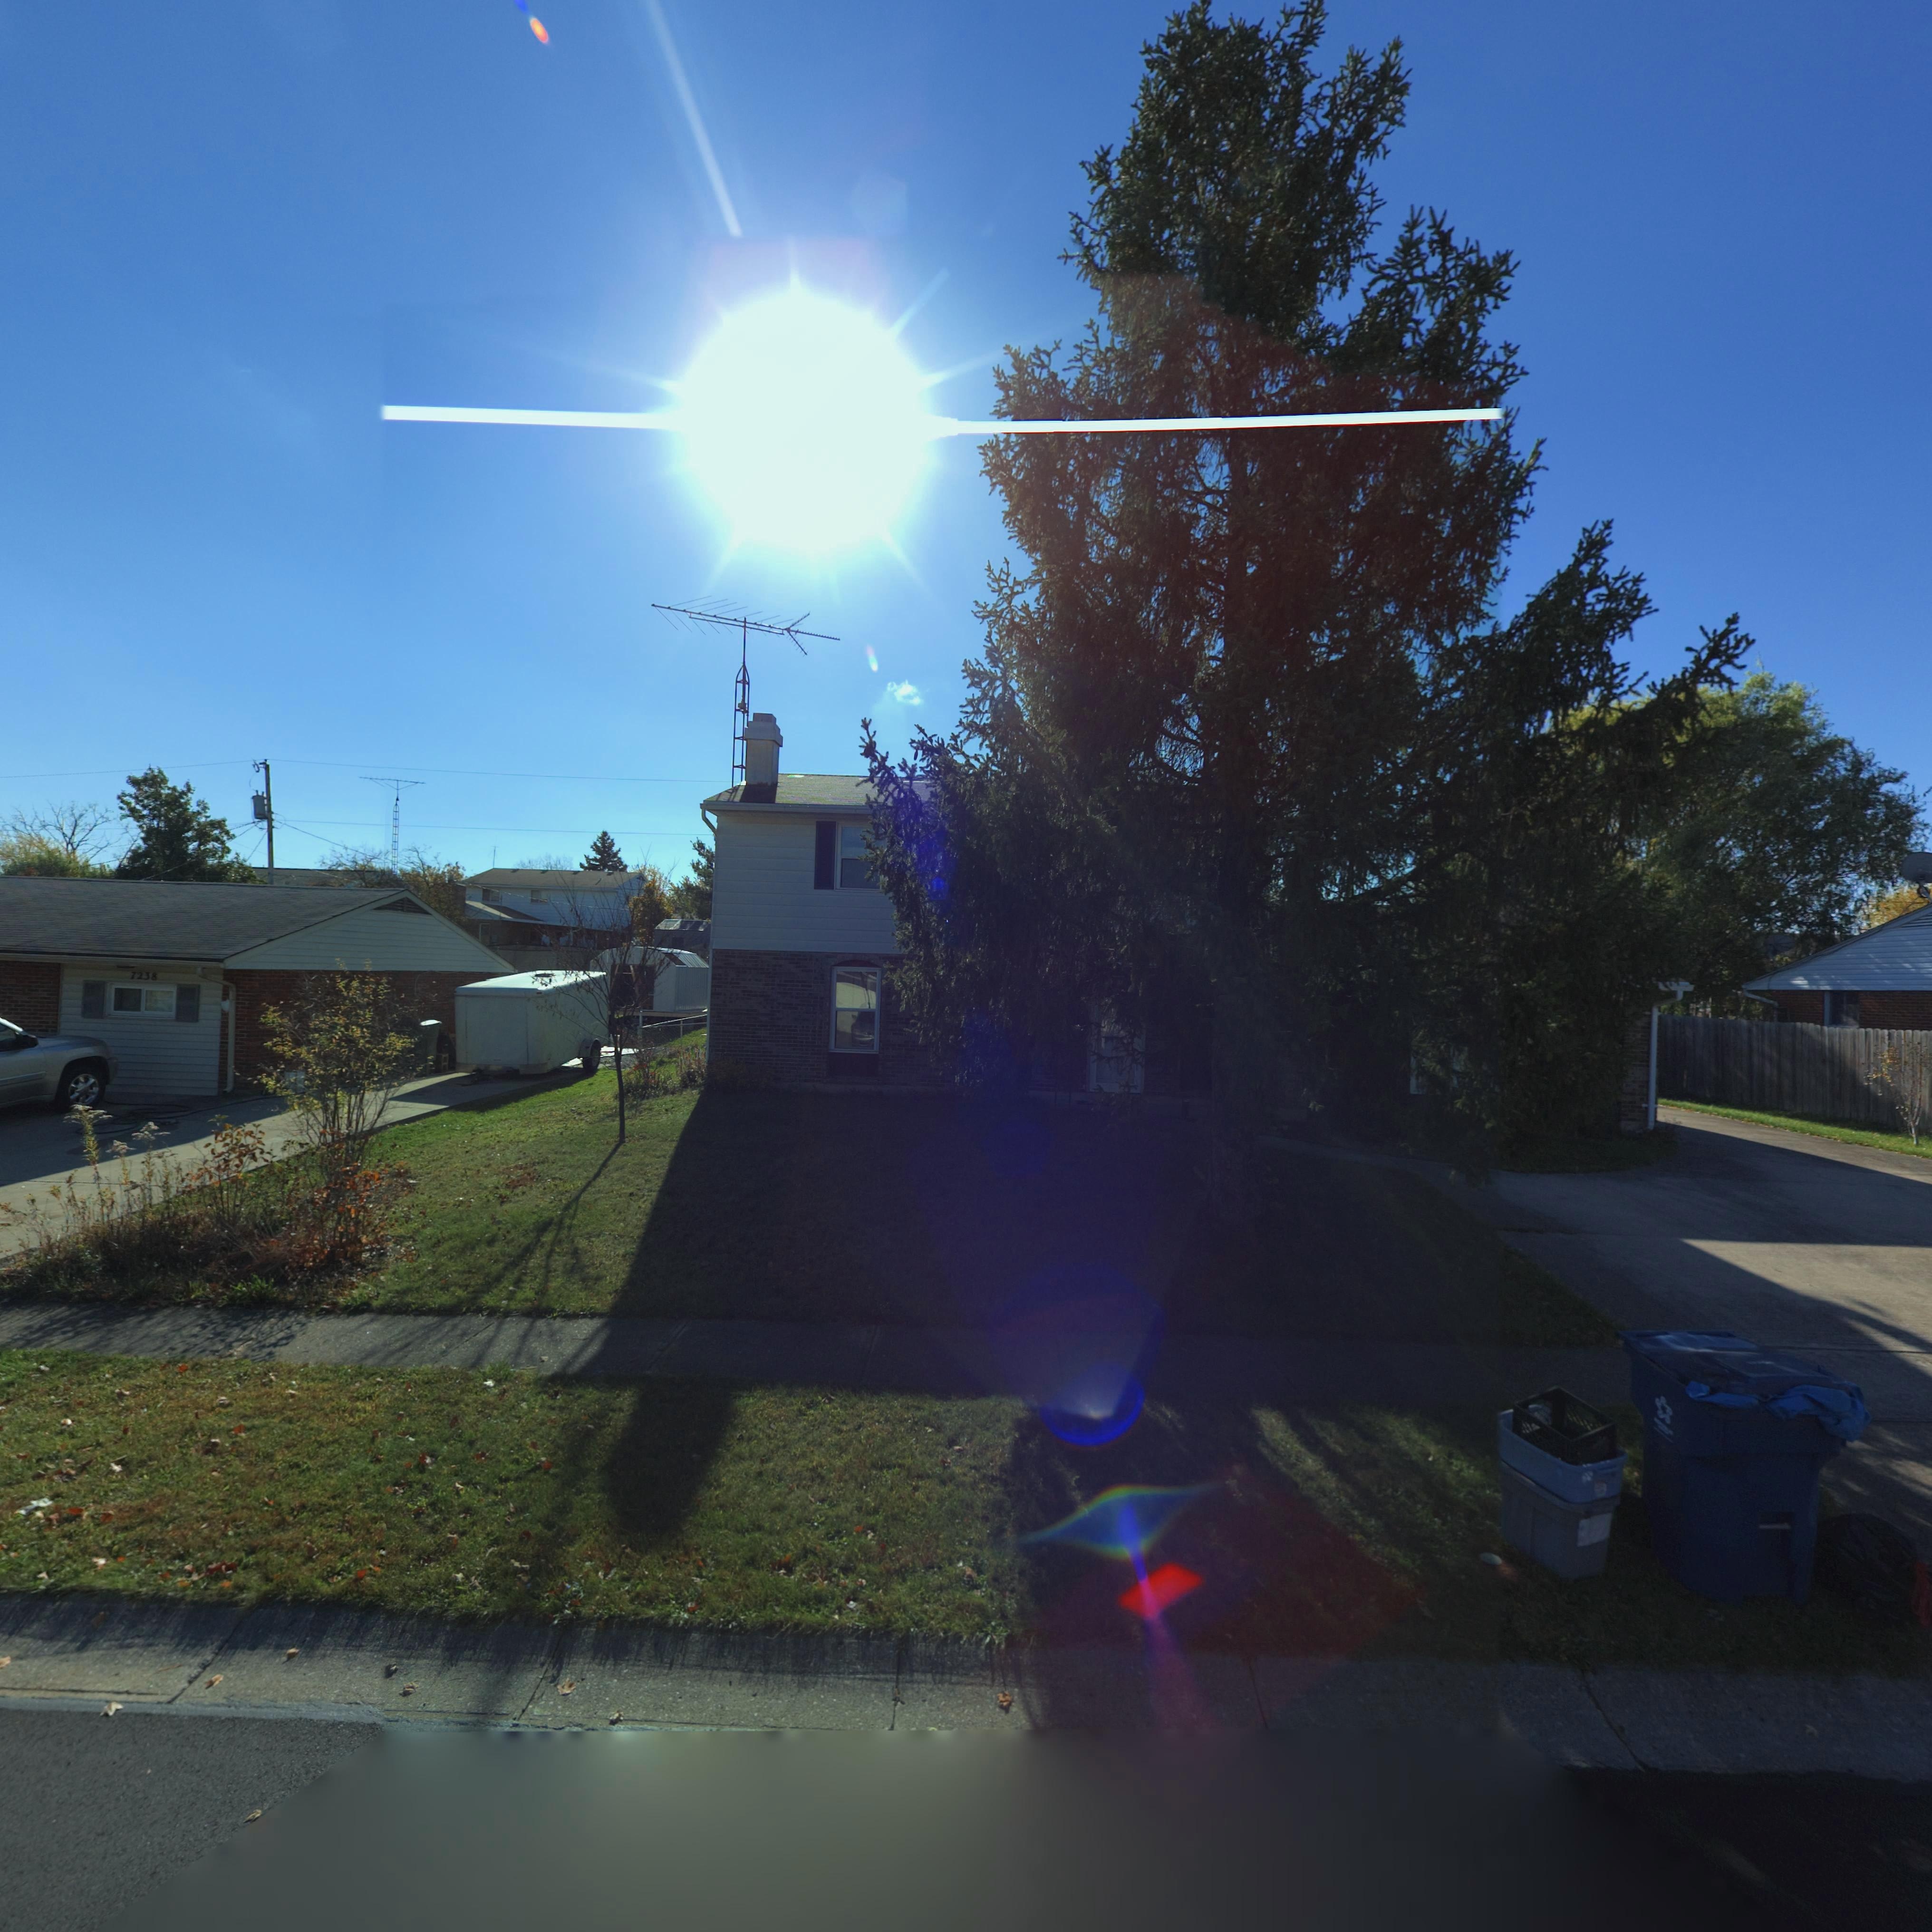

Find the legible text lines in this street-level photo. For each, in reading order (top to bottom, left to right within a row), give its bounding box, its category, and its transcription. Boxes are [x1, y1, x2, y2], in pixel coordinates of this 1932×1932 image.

[129, 971, 158, 982] StreetNumber: 7238